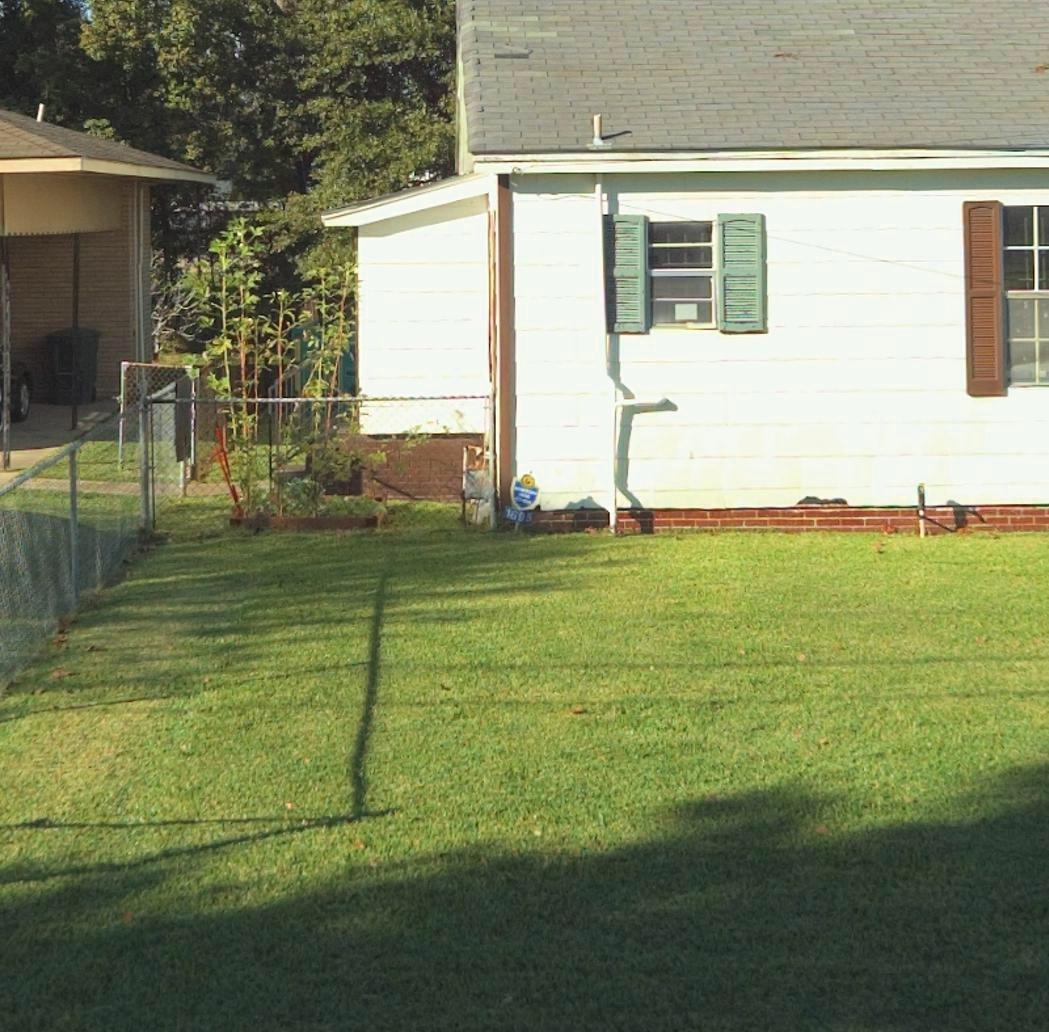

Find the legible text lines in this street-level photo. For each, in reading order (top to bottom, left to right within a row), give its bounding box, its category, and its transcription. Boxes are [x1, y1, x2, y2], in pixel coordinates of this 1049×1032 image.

[505, 507, 534, 523] StreetNumber: 1695